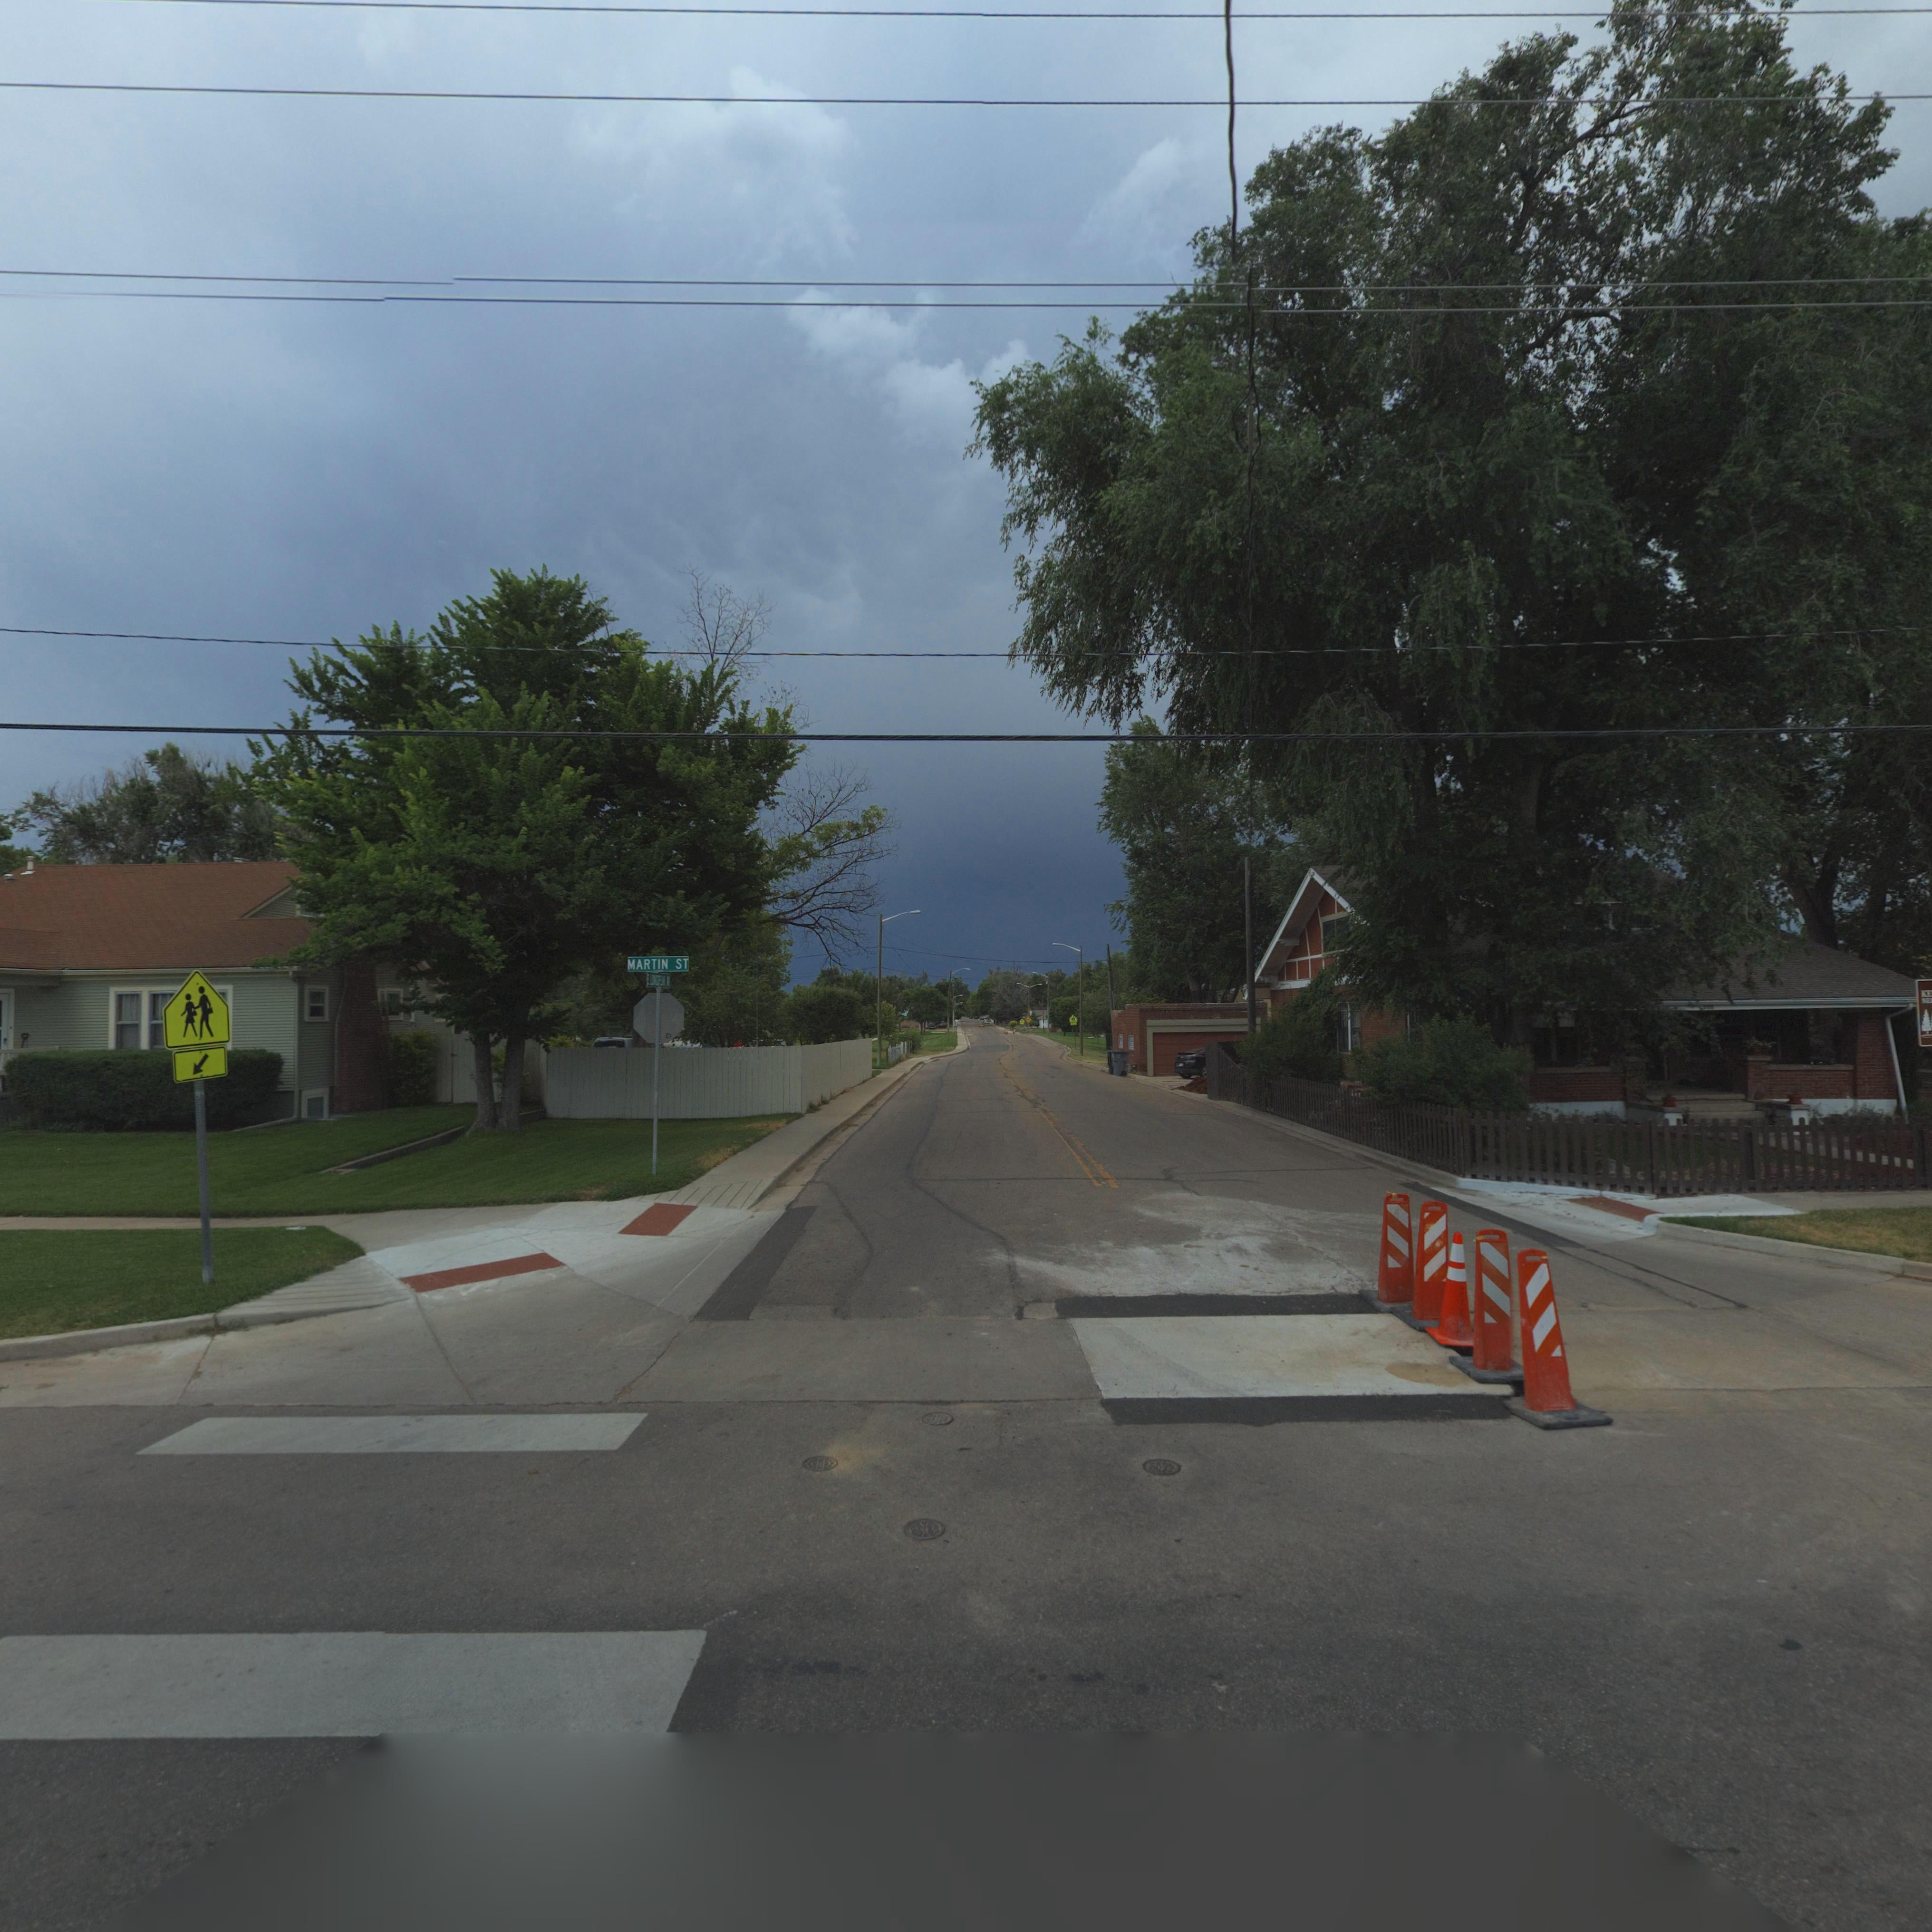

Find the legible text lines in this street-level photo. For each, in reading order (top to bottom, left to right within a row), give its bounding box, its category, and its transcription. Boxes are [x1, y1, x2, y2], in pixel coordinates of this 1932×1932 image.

[627, 958, 689, 970] StreetName: MARTIN ST
[646, 974, 670, 986] StreetName: E******** A*